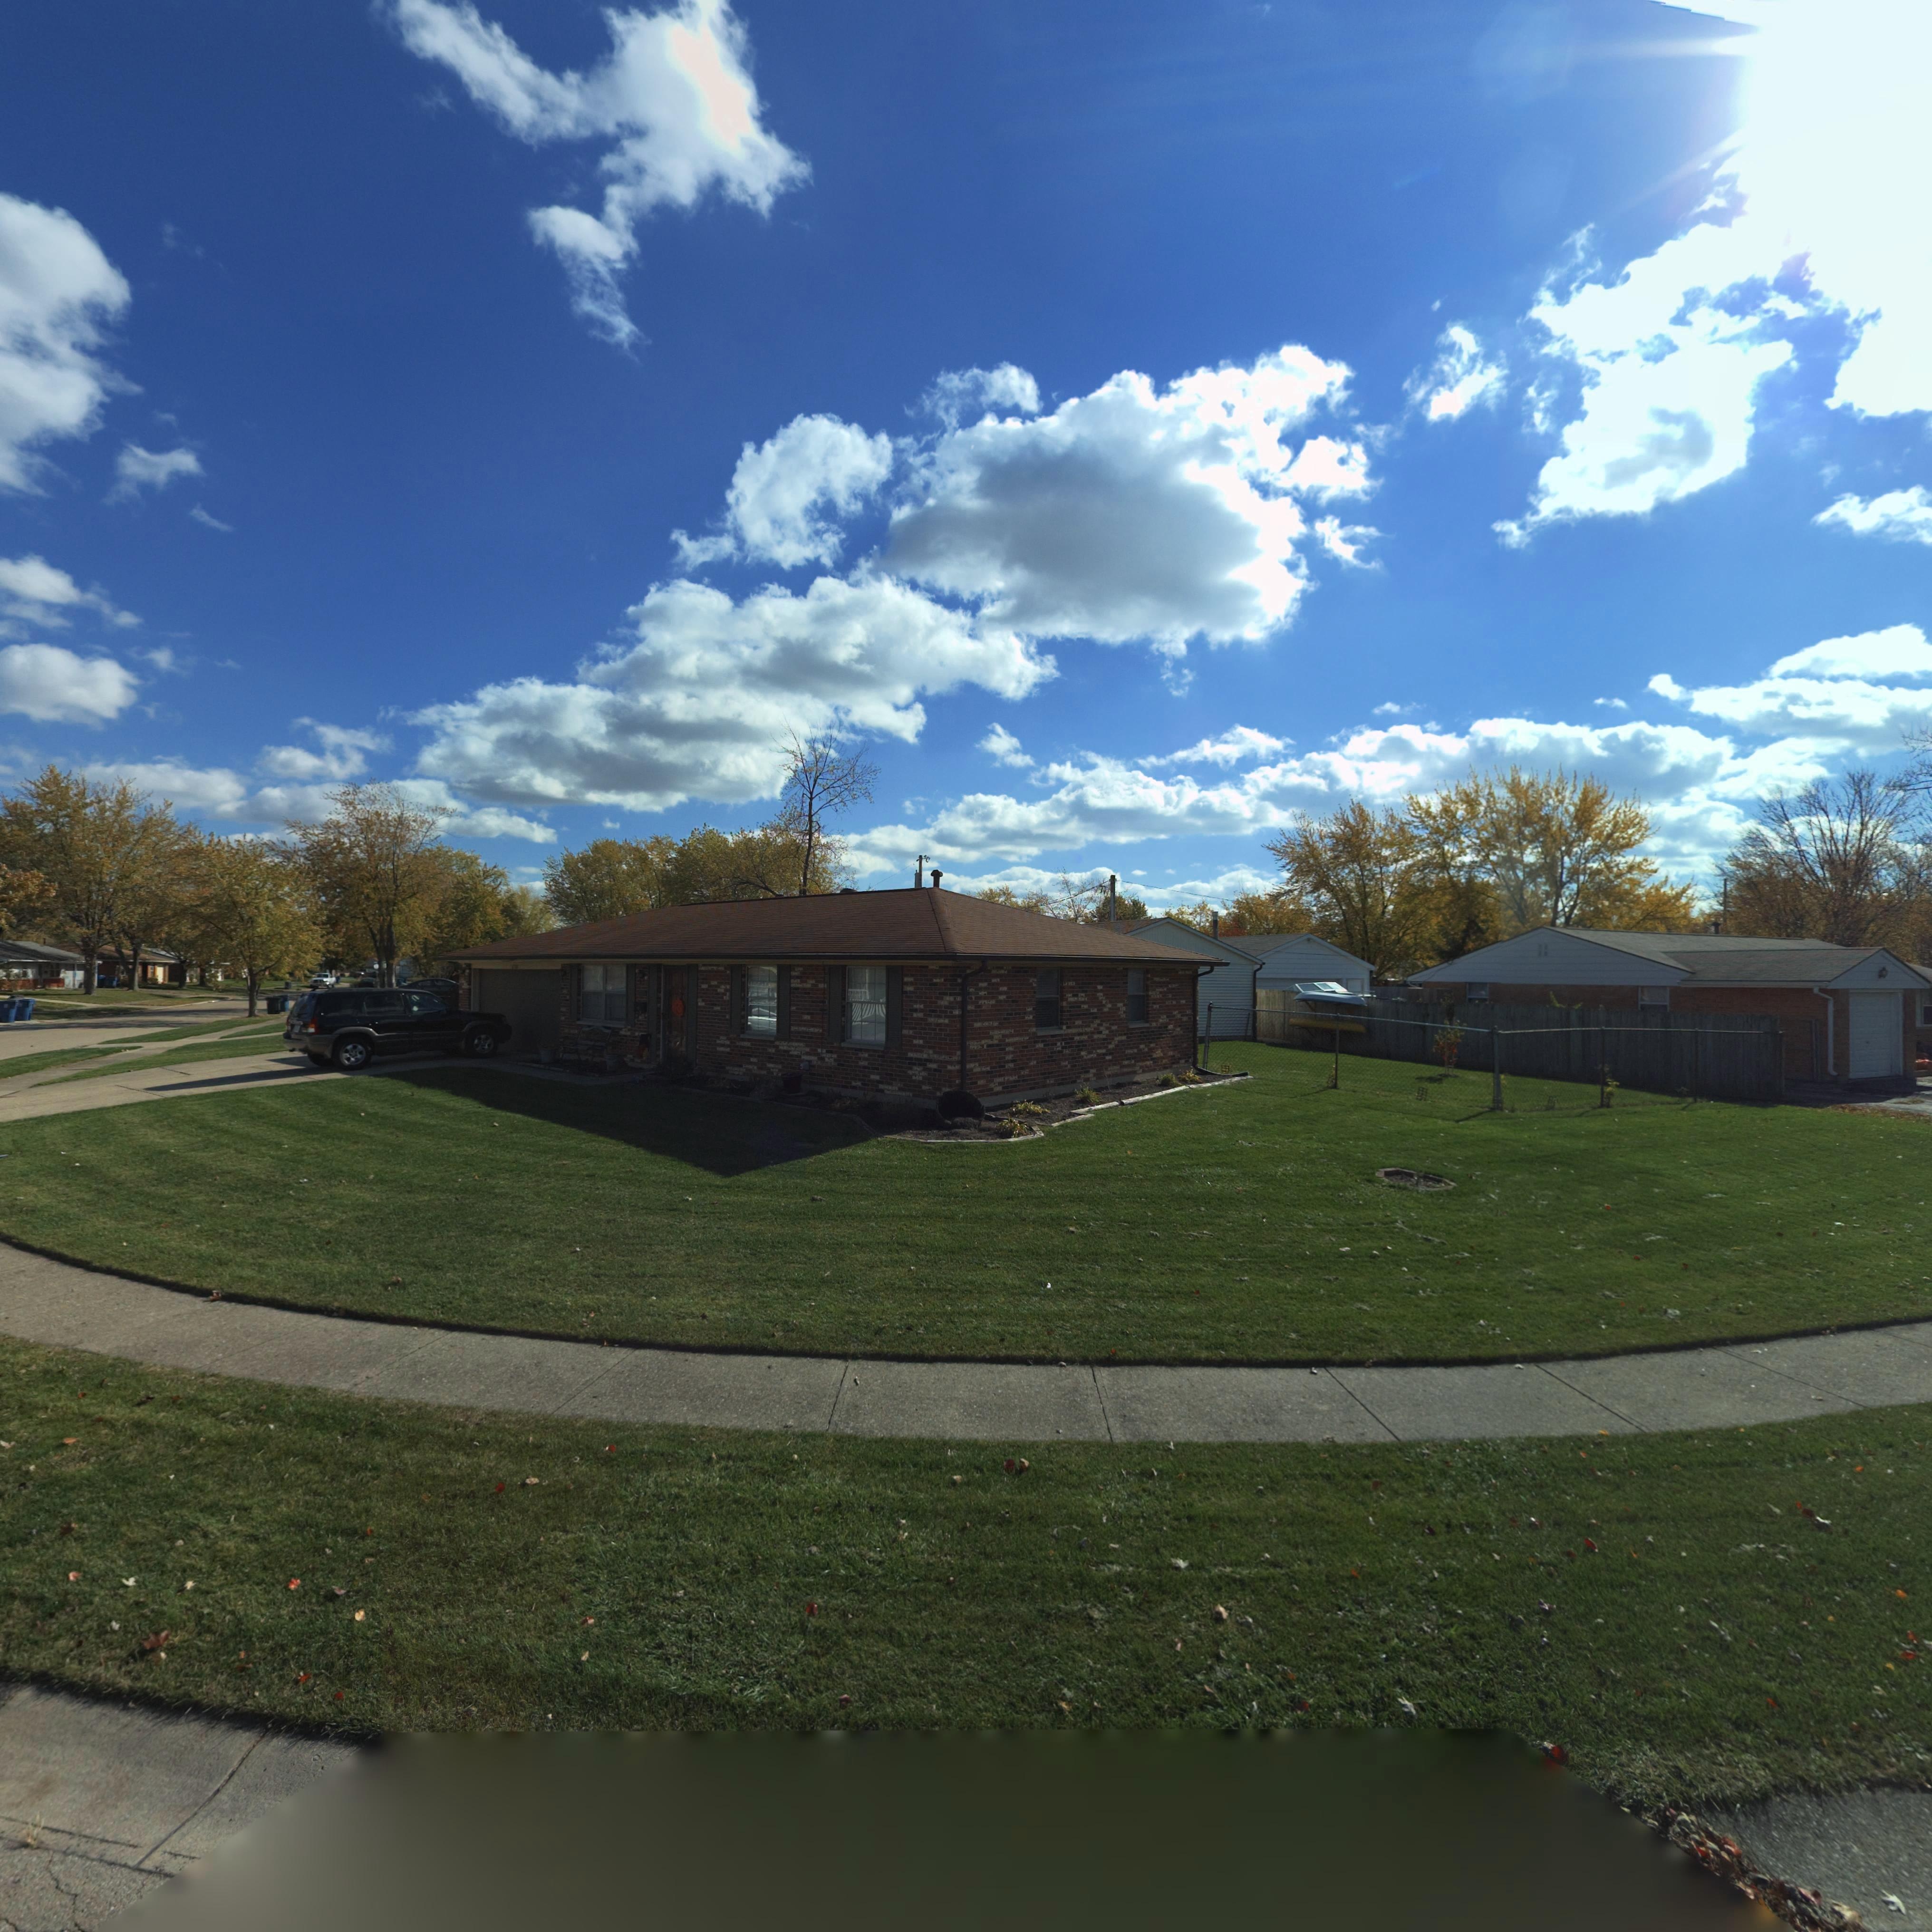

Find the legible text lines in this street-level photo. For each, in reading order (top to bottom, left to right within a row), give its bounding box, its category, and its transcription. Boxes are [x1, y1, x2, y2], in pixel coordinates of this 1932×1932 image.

[511, 964, 519, 969] StreetNumber: 67**